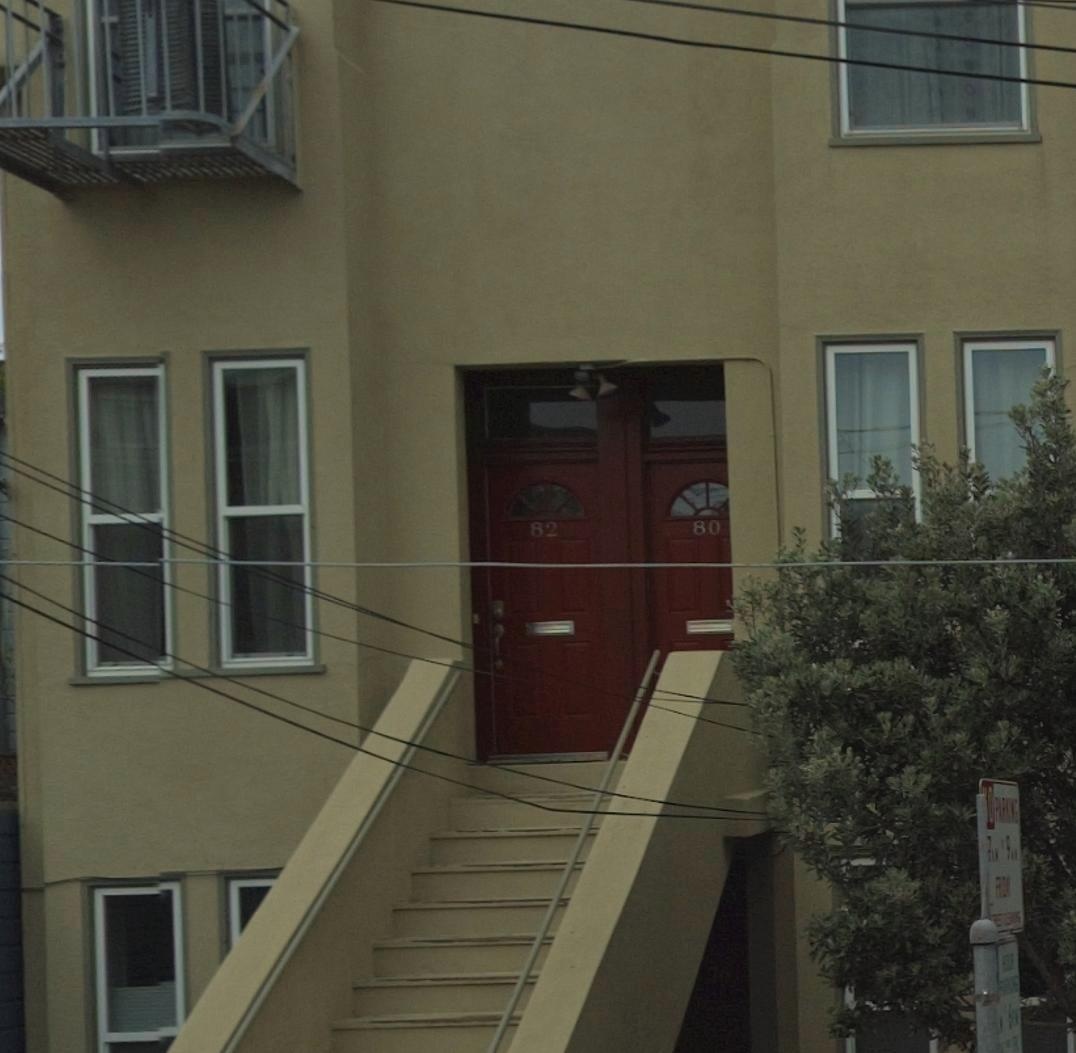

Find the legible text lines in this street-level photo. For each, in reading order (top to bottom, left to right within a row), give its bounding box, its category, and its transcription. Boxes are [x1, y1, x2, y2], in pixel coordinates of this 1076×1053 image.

[529, 520, 559, 538] StreetNumber: 82
[692, 519, 721, 537] StreetNumber: 80